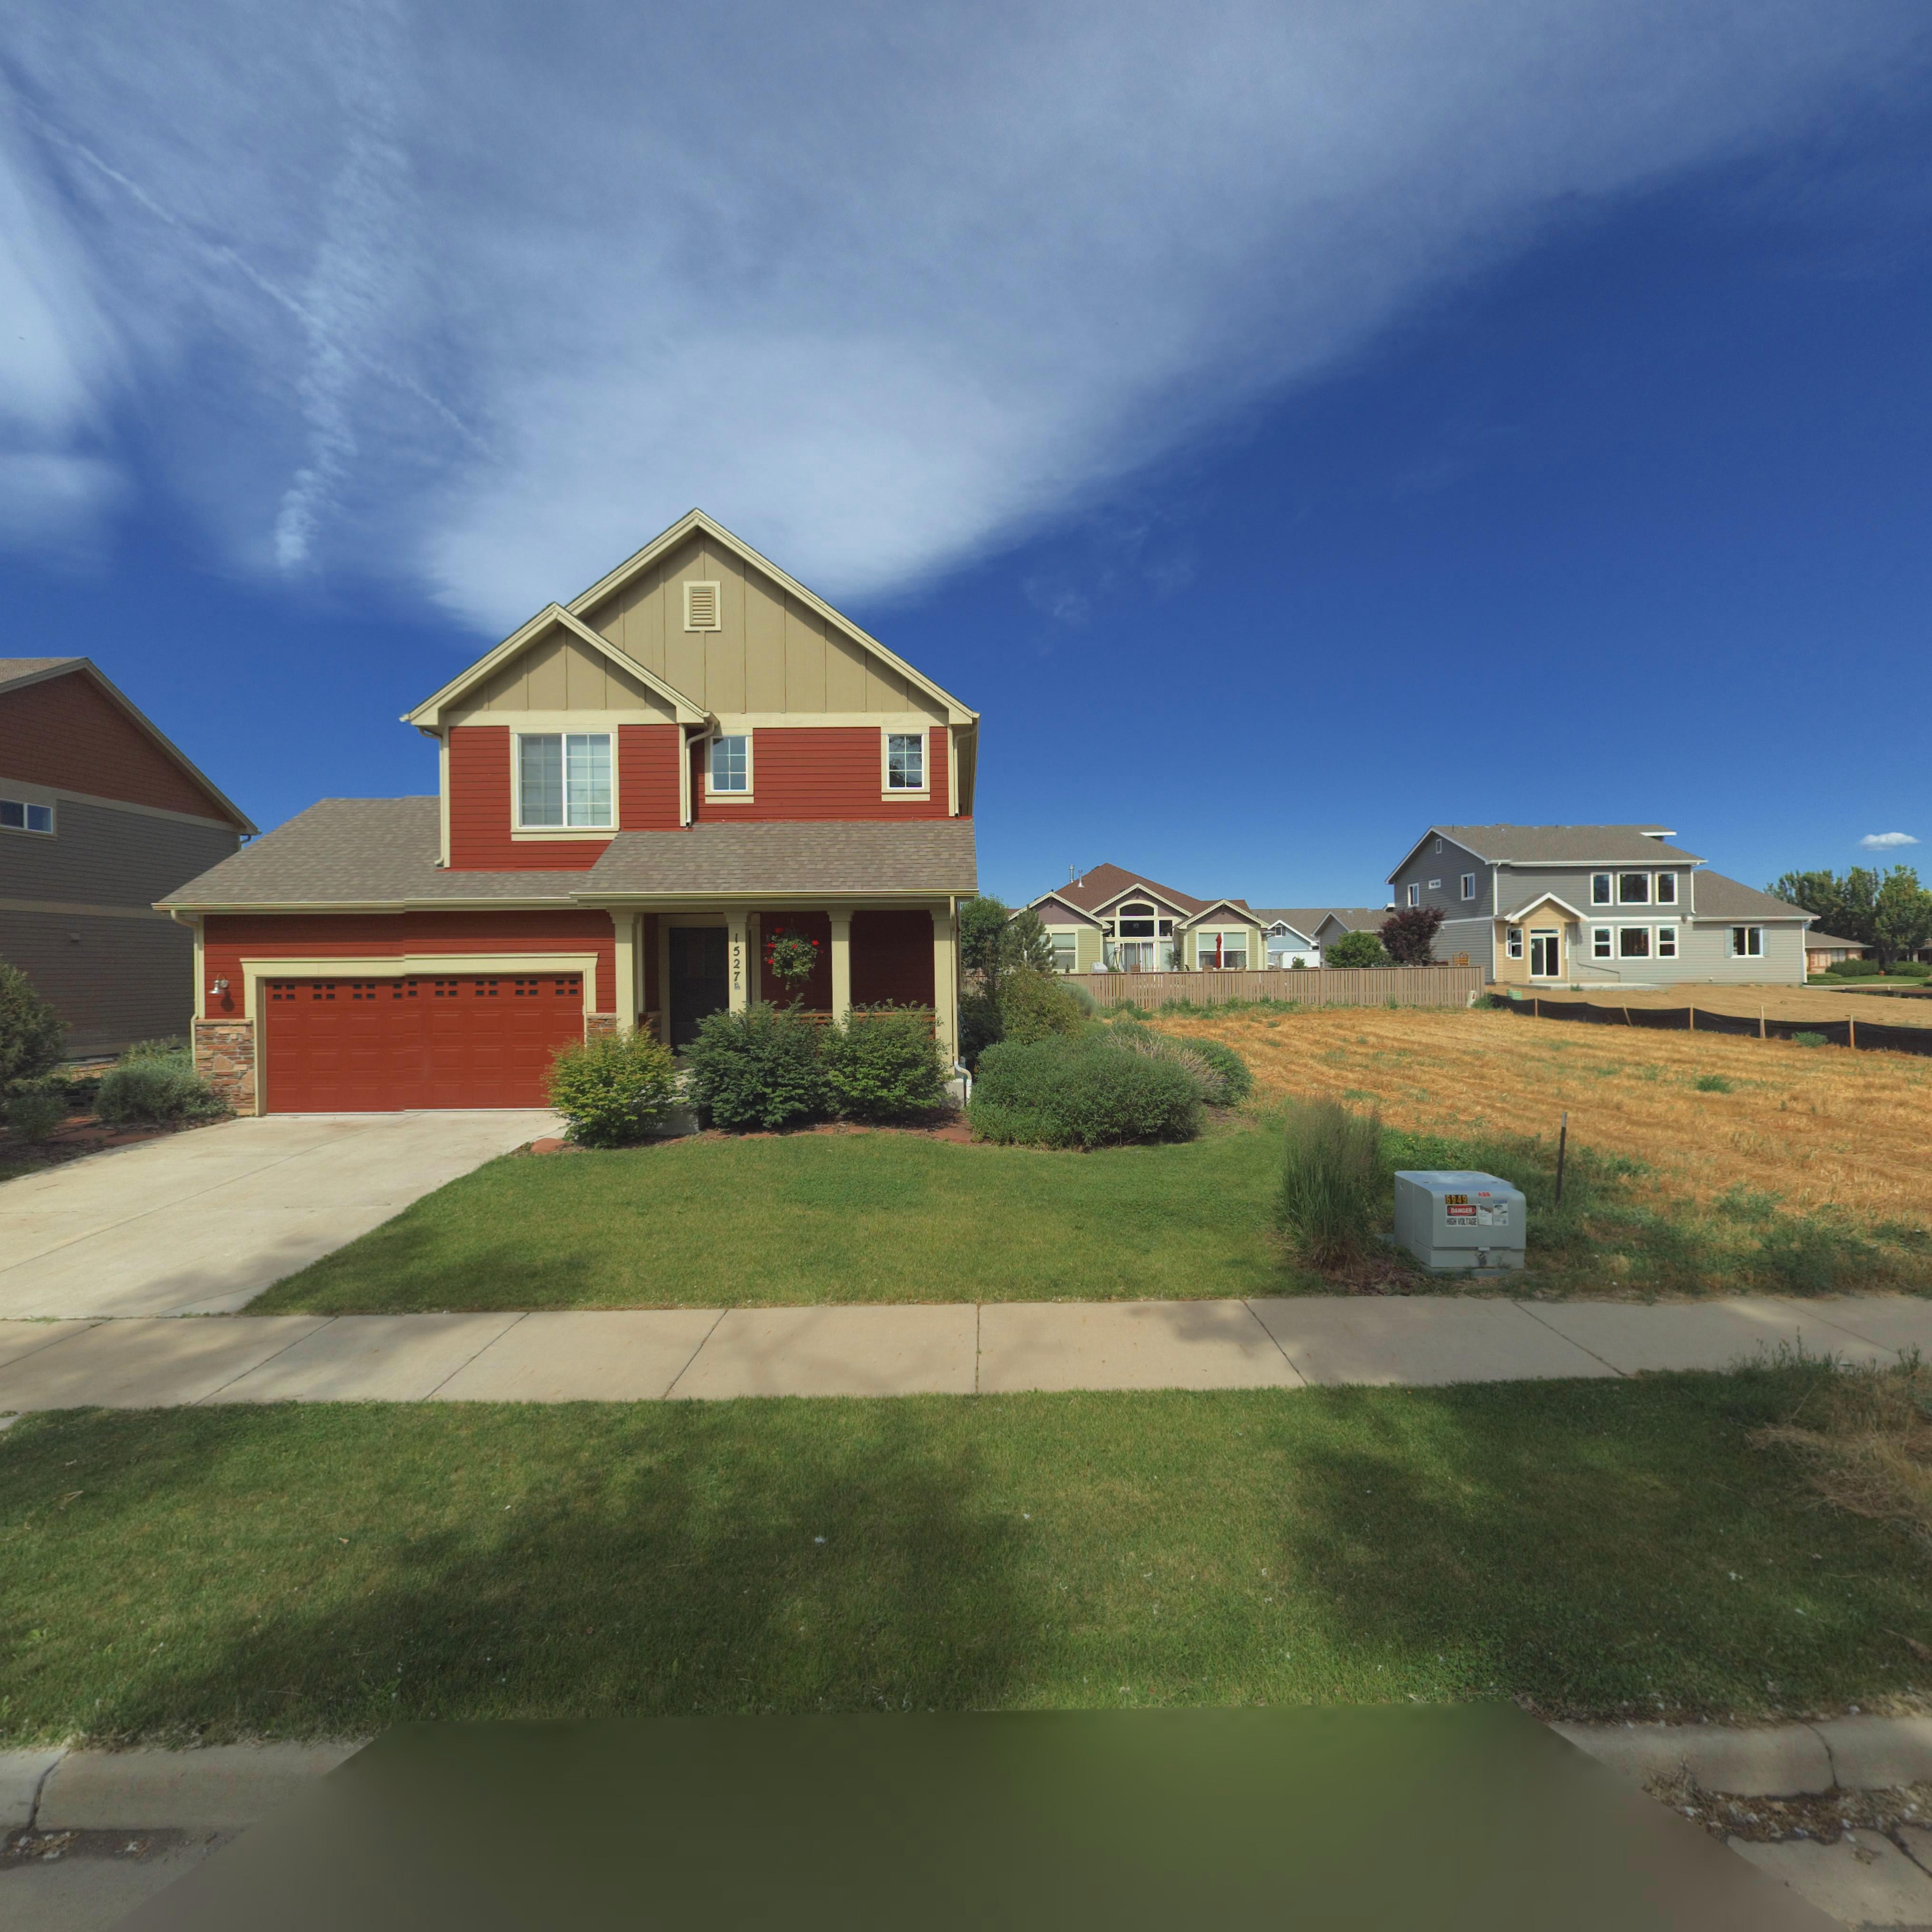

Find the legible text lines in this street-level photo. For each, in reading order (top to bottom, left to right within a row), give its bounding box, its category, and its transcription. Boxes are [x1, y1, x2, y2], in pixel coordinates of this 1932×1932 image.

[733, 933, 741, 981] StreetNumber: 1527